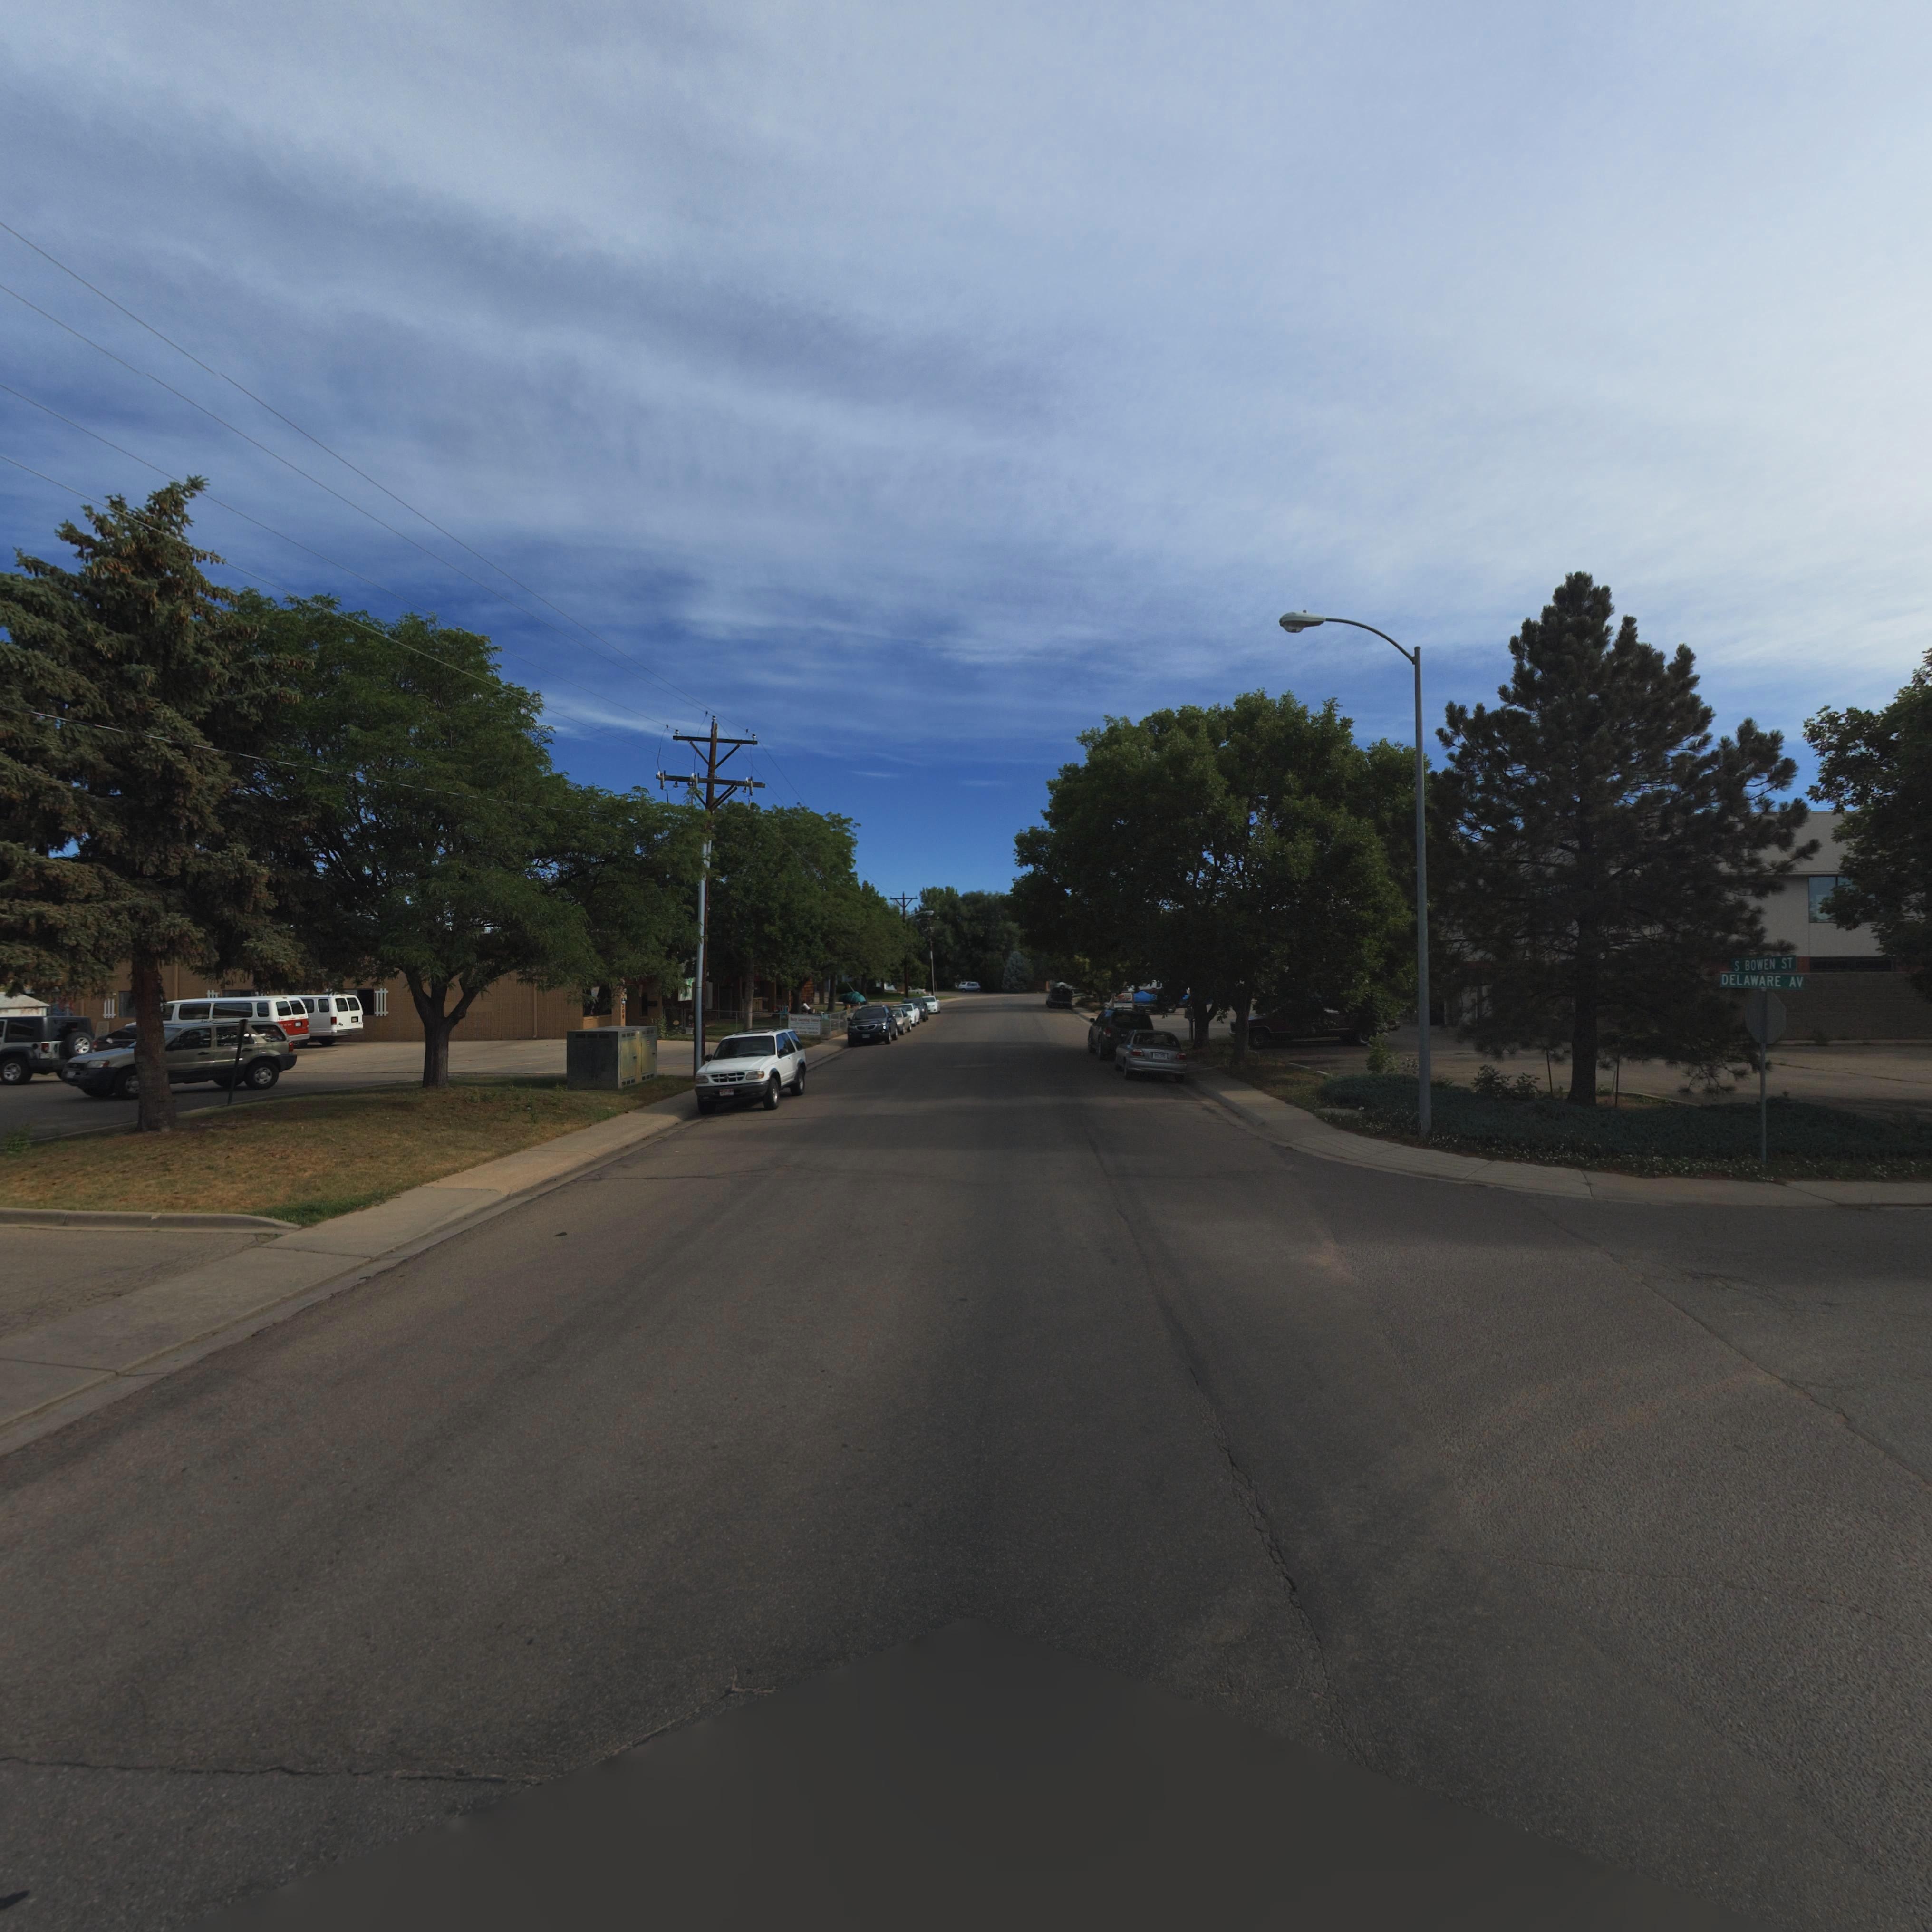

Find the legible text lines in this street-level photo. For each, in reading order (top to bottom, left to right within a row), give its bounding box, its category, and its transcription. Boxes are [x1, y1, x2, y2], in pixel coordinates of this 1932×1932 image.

[1733, 956, 1794, 972] StreetName: S BOWEN ST
[1721, 973, 1804, 988] StreetName: DELAWARE AV
[621, 1003, 625, 1019] StreetNumber: *0*
[790, 1016, 819, 1023] BusinessName: ****y L******g C*****